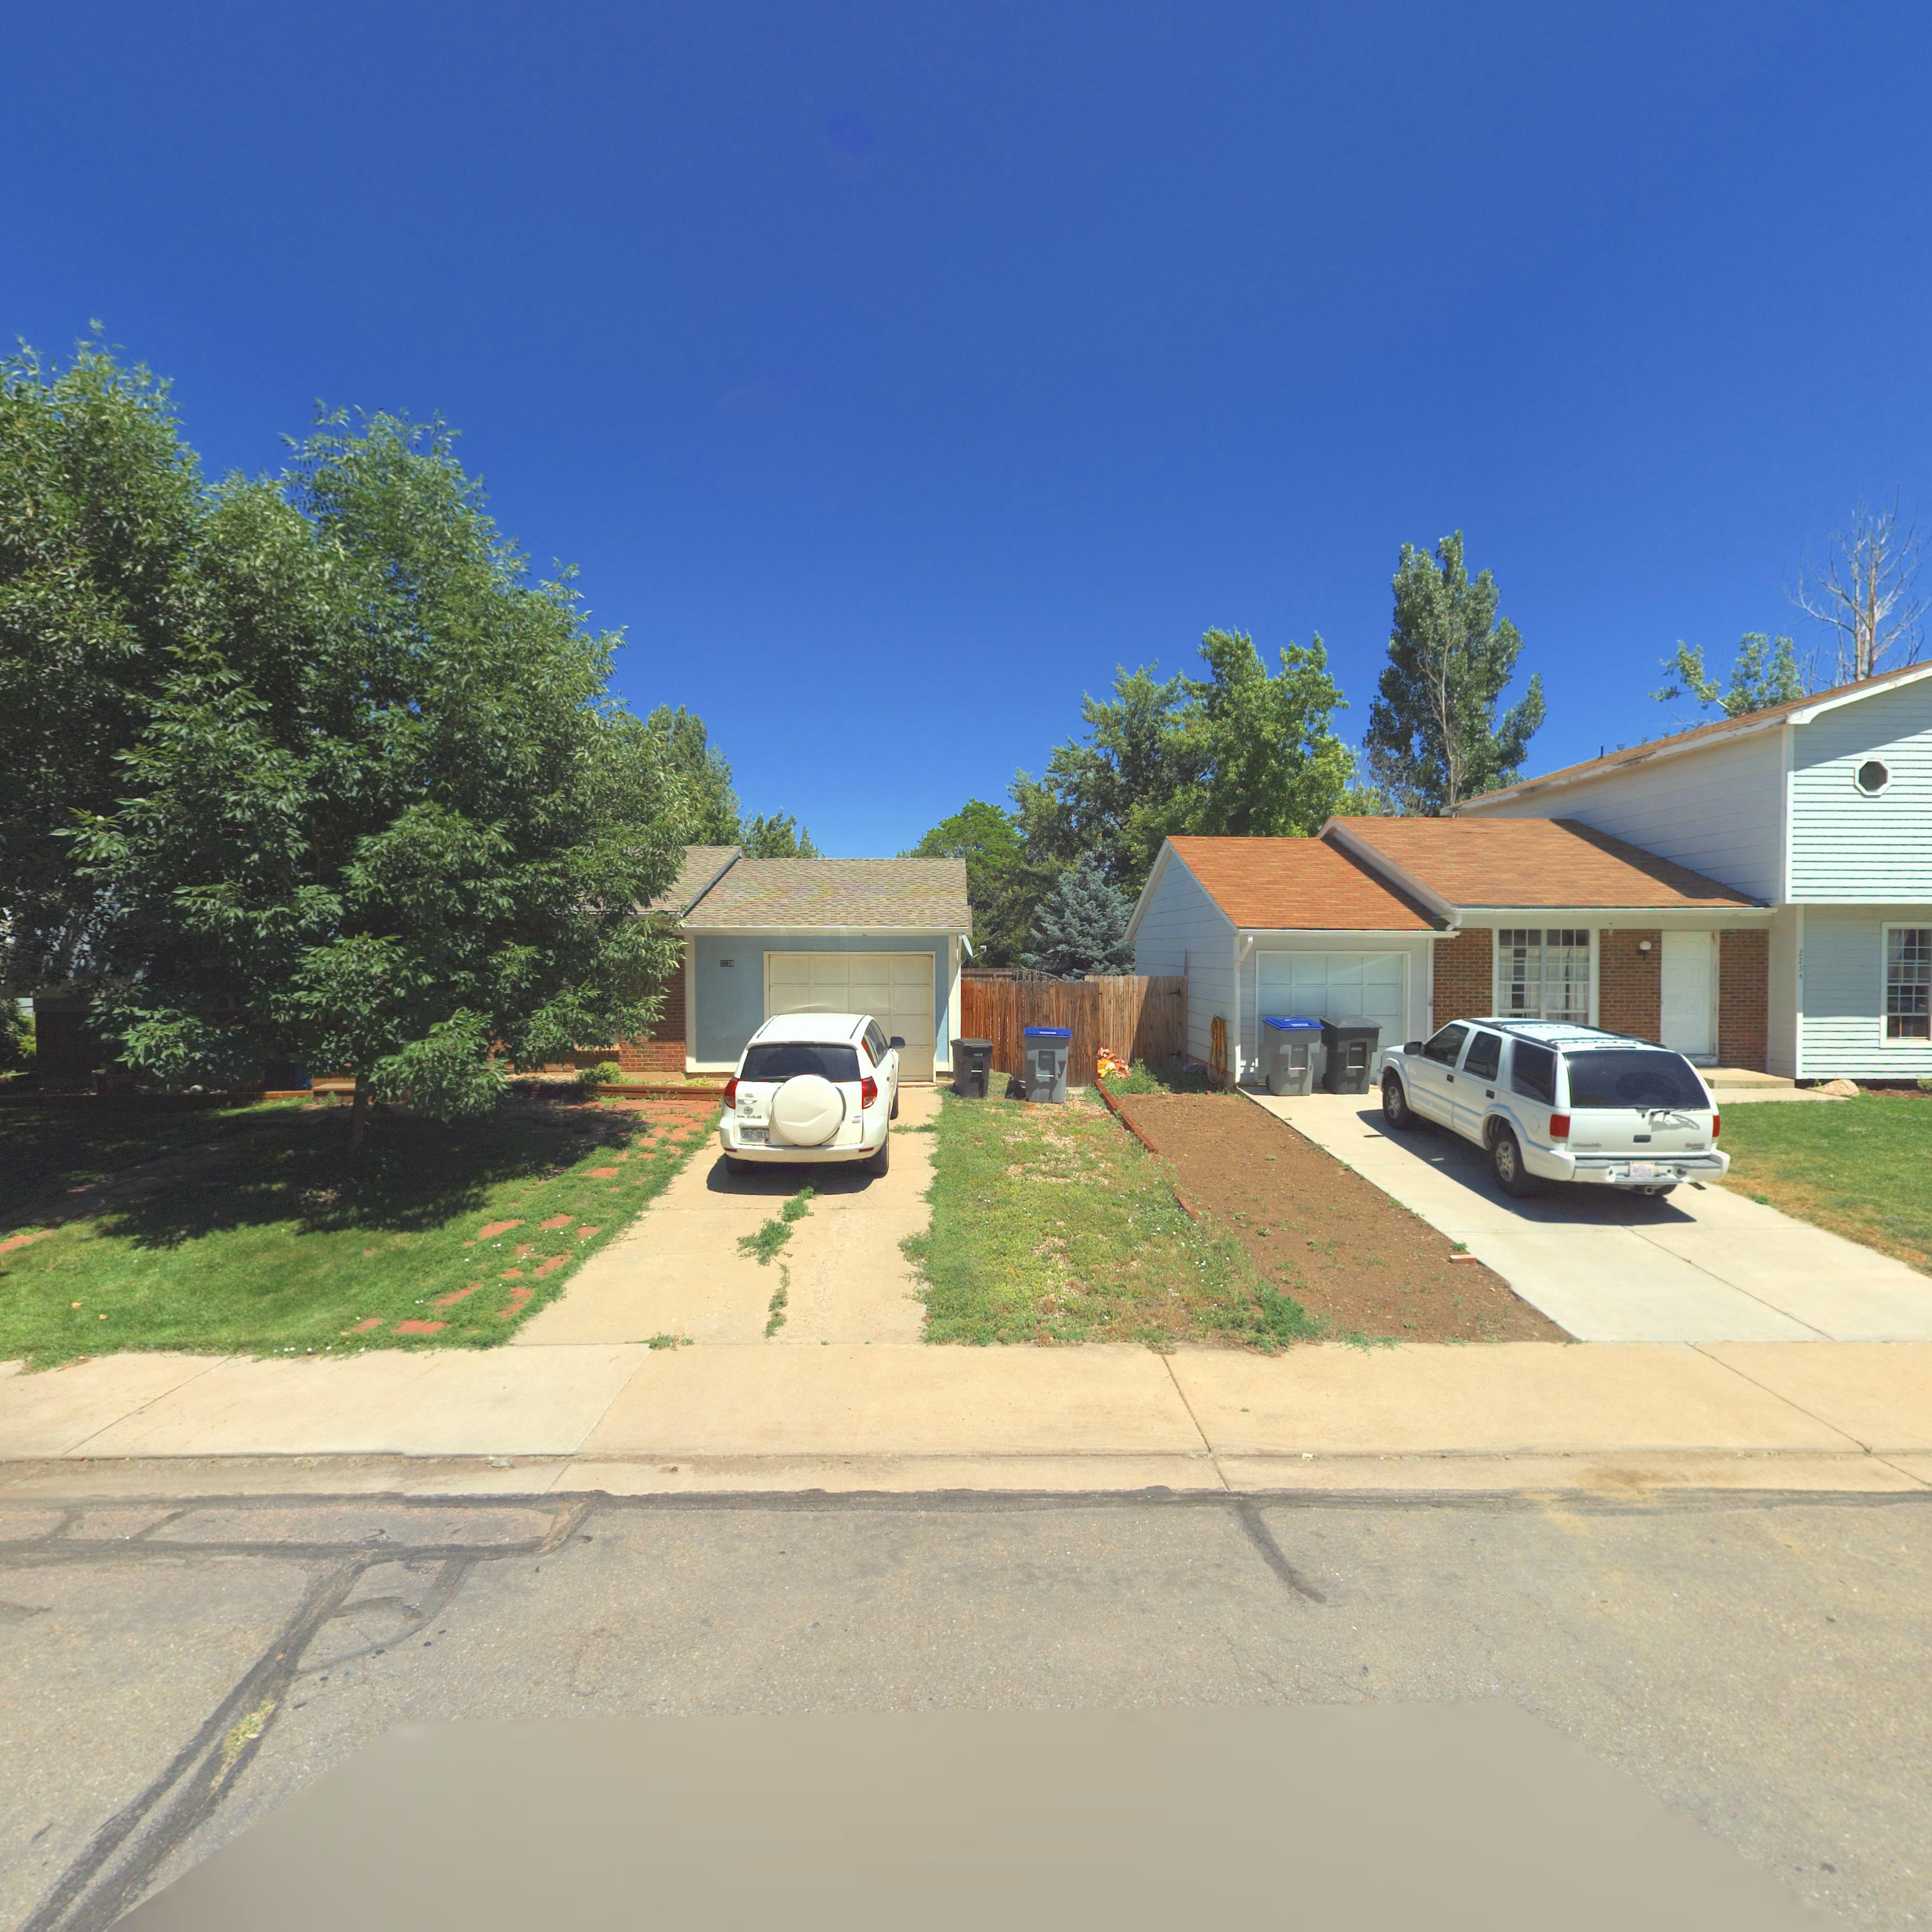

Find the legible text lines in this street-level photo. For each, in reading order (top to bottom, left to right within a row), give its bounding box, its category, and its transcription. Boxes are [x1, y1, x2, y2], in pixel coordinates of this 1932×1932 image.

[720, 960, 734, 966] StreetNumber: 2238
[1798, 949, 1803, 980] StreetNumber: 2234